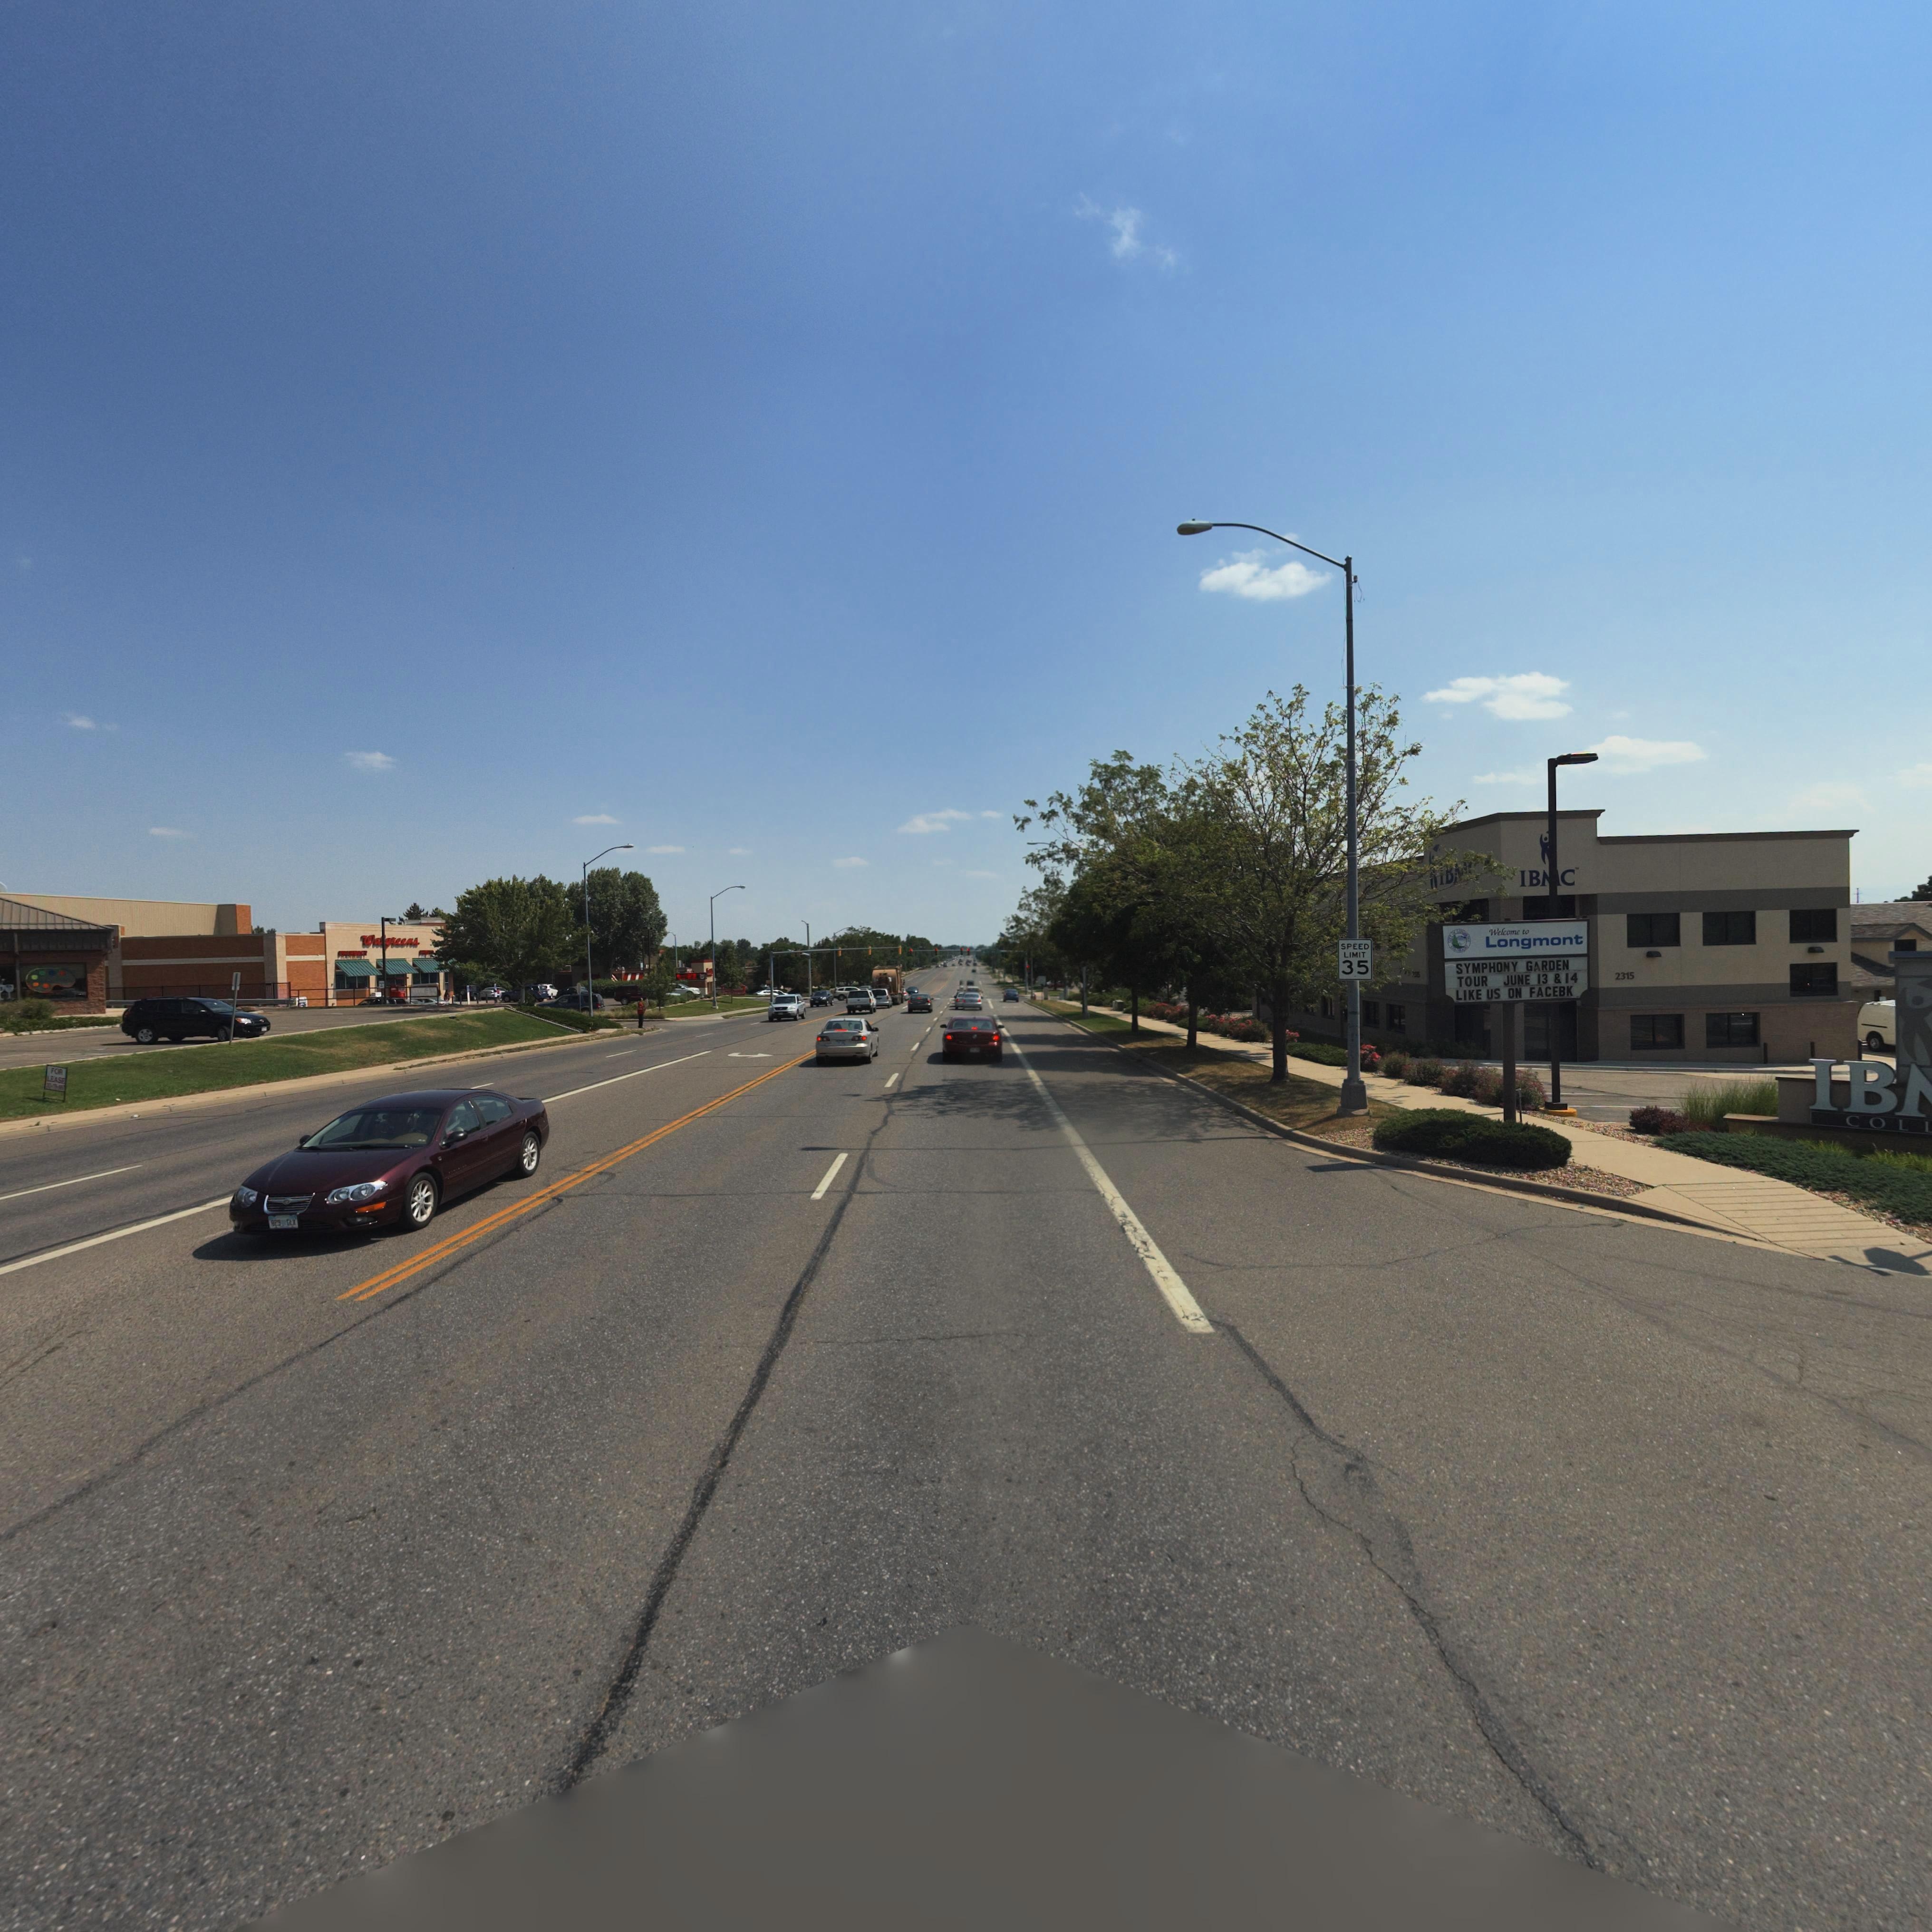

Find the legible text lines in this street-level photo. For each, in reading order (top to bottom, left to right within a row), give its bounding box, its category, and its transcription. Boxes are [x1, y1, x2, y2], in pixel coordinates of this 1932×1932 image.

[1519, 868, 1575, 888] BusinessName: IB*C
[360, 933, 421, 949] BusinessName: Wa*greens
[1411, 971, 1420, 977] StreetNumber: 2315
[1614, 971, 1634, 980] StreetNumber: 2315
[1807, 1058, 1899, 1114] BusinessName: IB